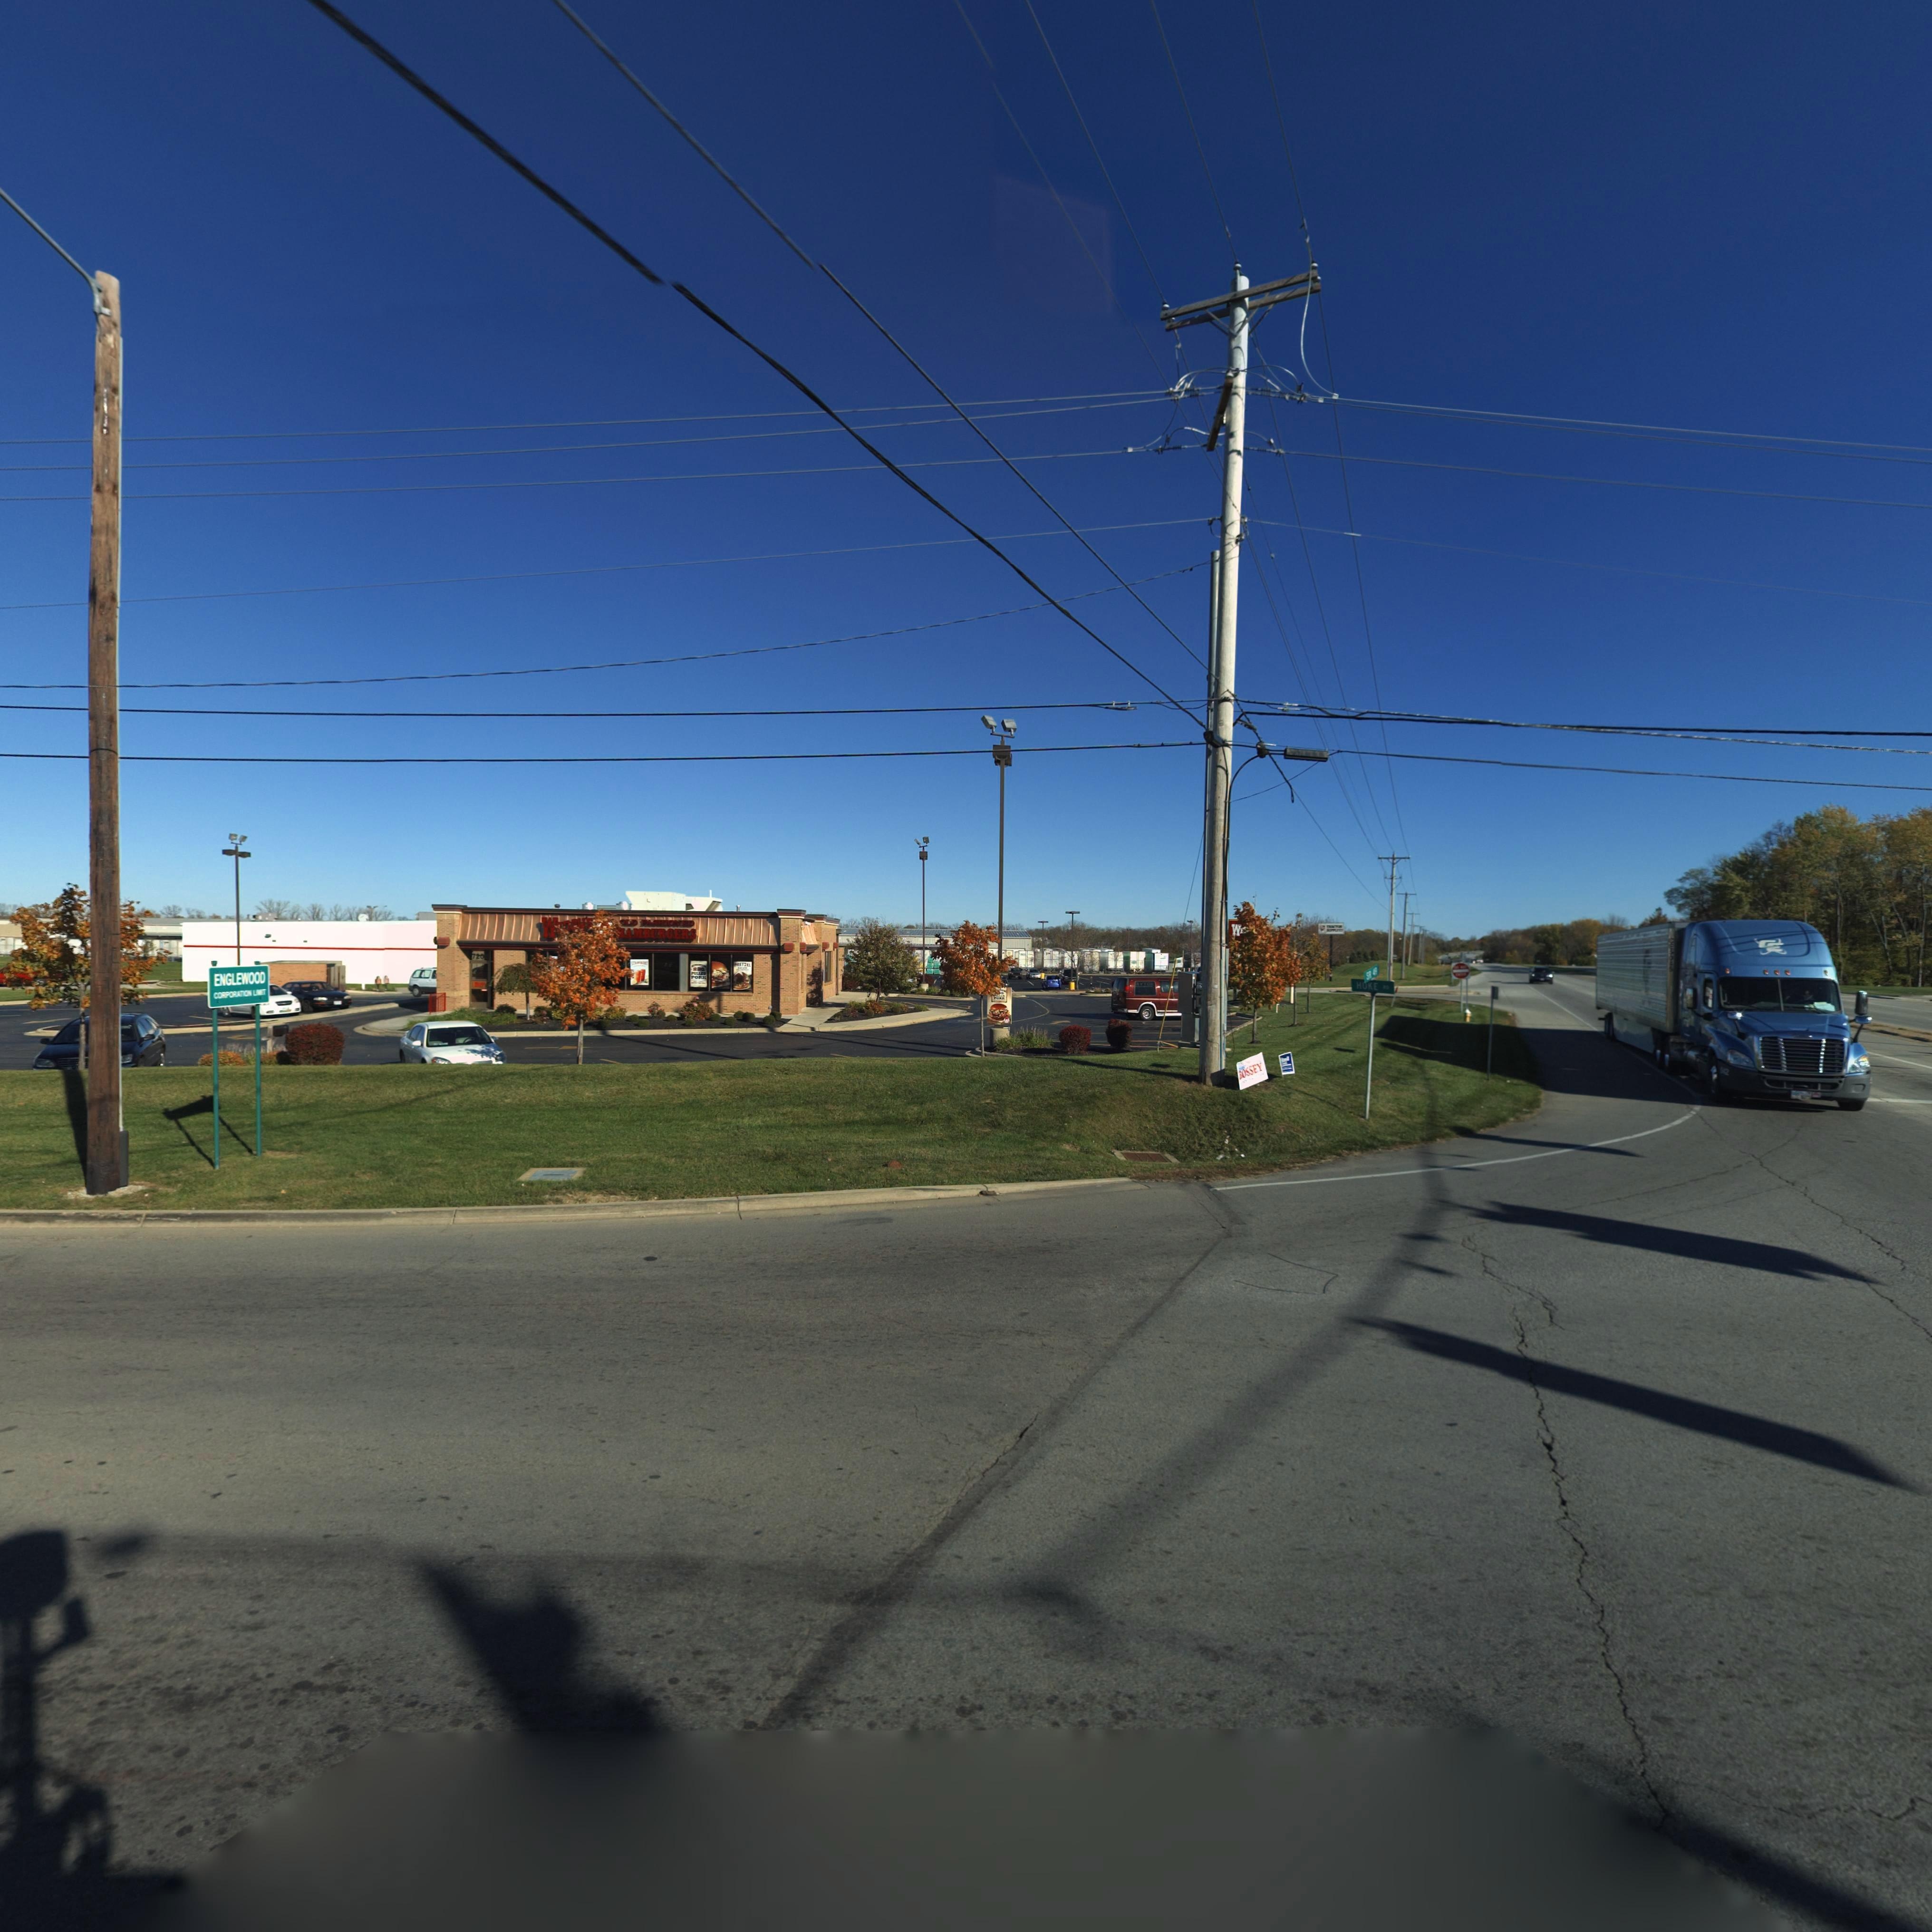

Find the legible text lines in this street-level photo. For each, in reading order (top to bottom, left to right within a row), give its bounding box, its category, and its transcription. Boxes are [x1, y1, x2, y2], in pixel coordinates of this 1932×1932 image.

[471, 953, 485, 959] StreetNumber: 720